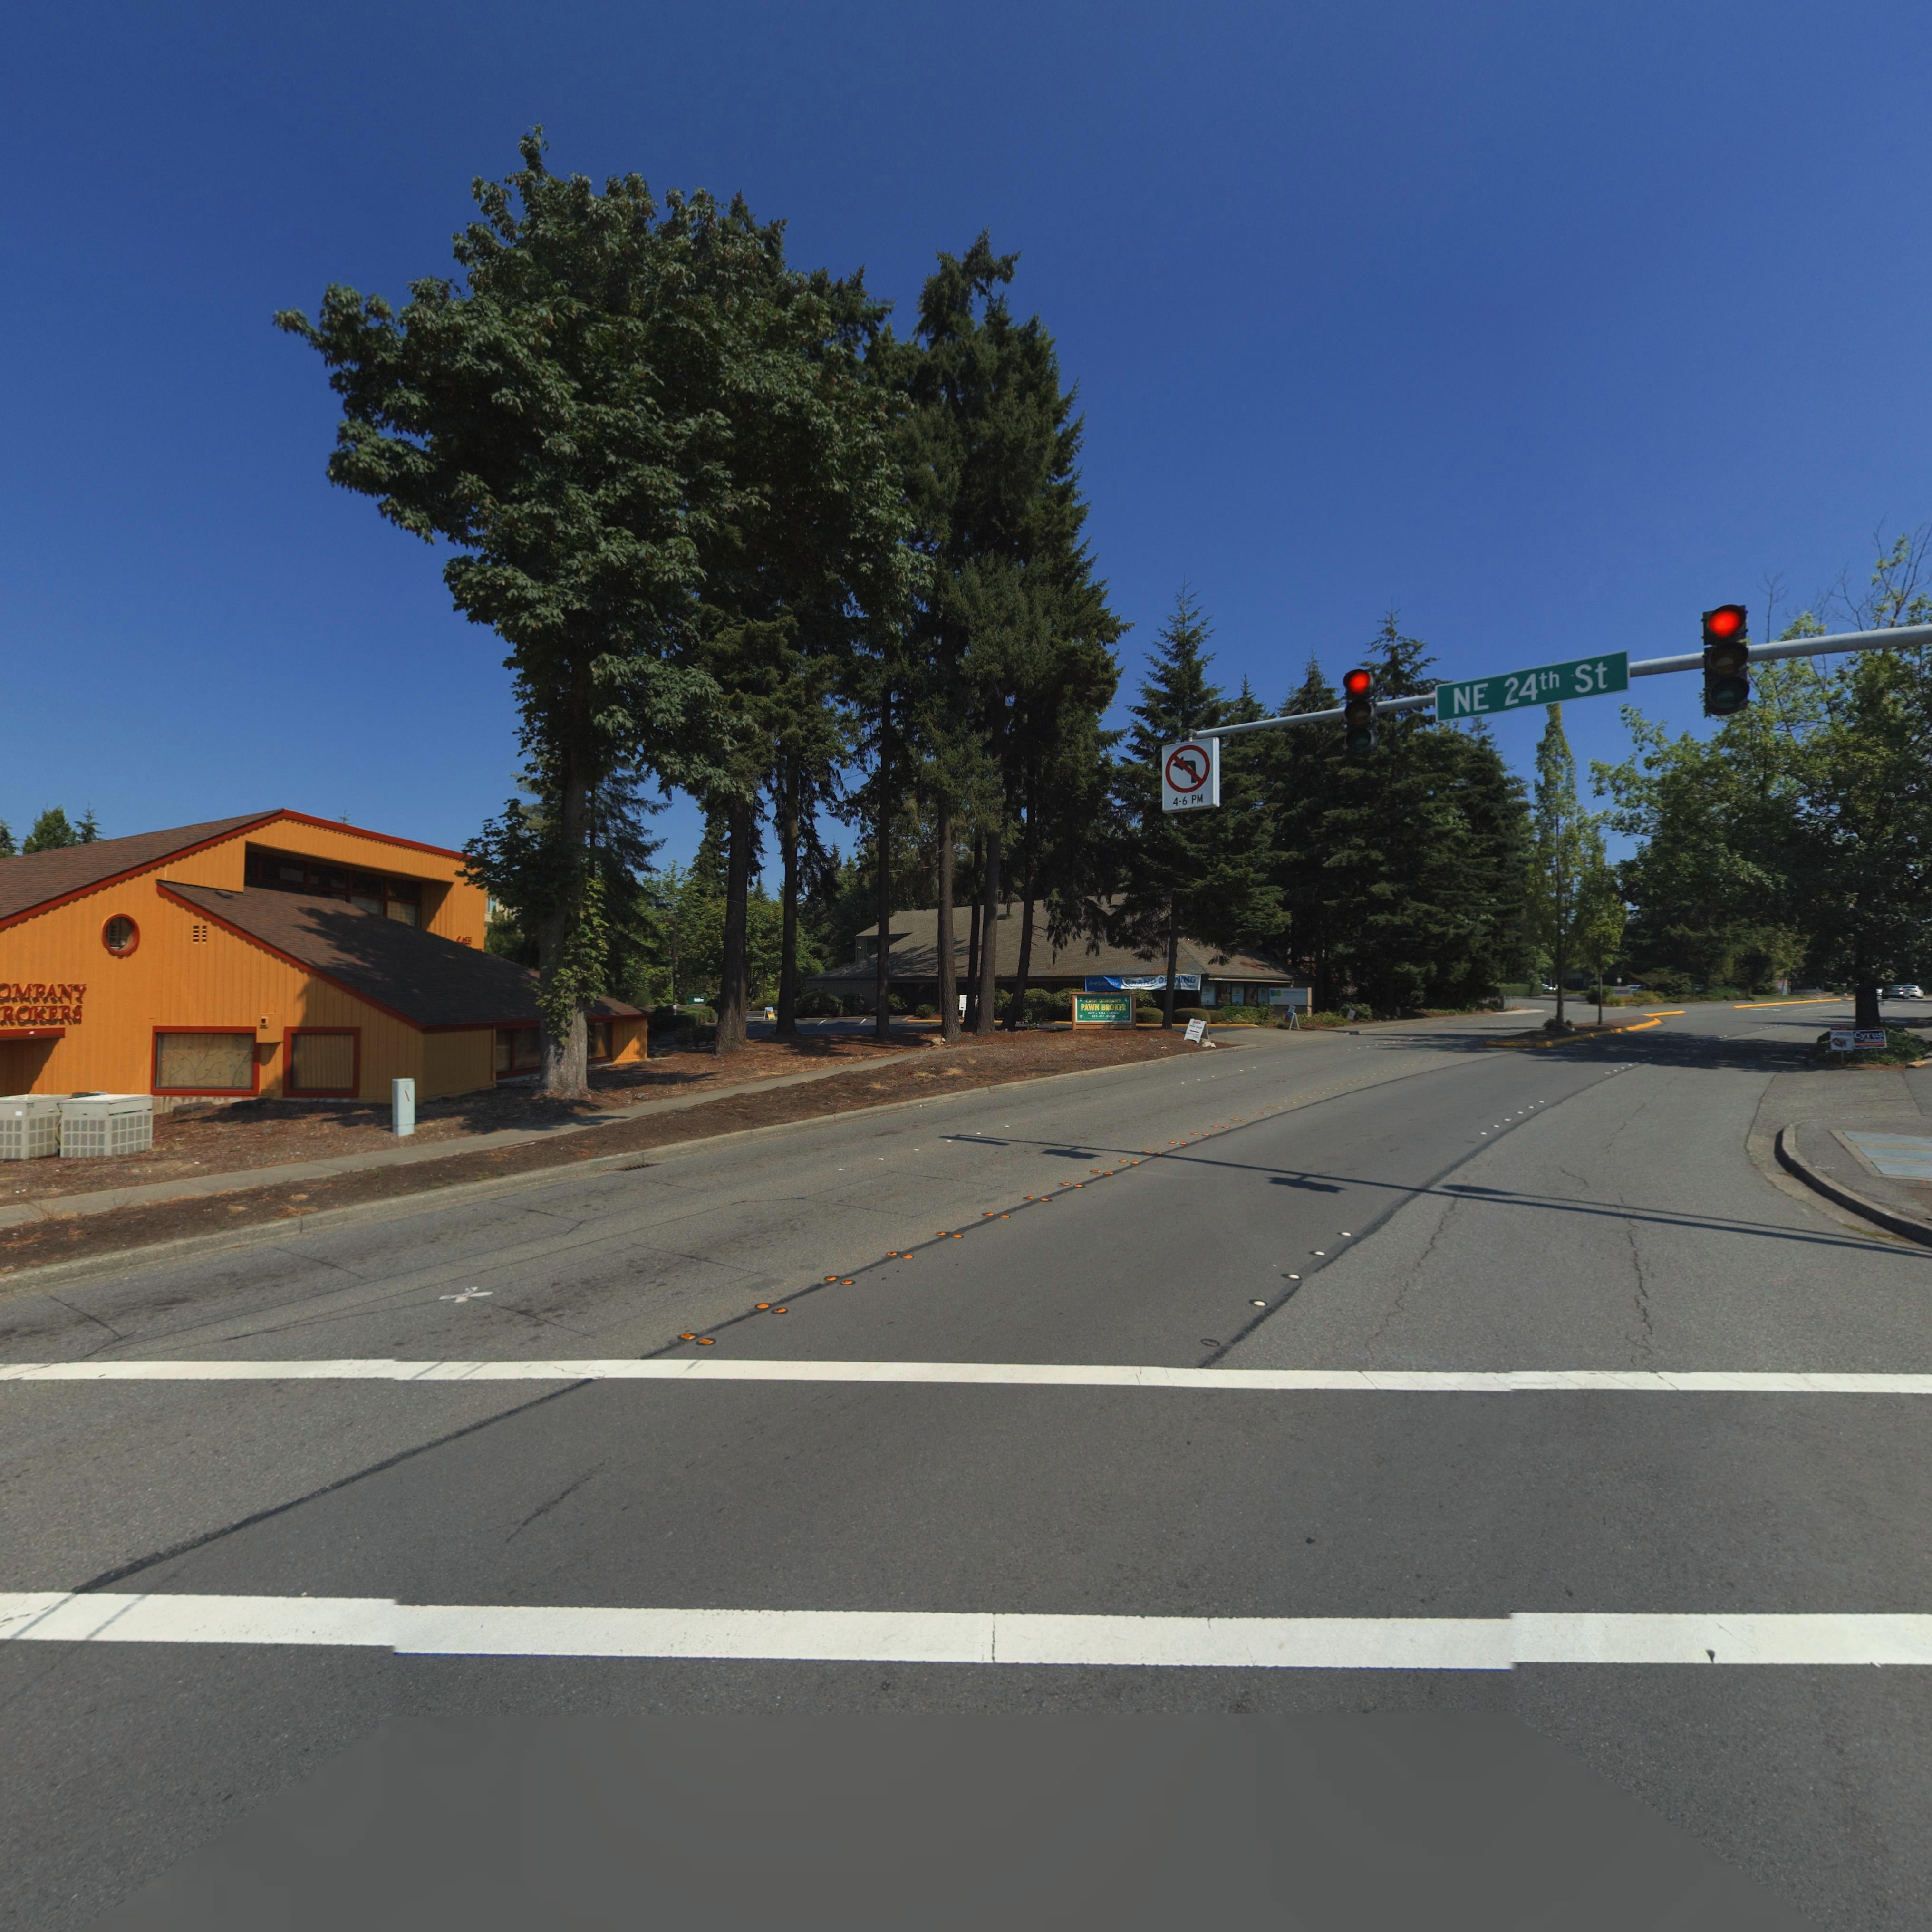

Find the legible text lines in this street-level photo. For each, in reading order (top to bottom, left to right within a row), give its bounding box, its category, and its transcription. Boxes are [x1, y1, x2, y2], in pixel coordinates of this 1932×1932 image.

[1450, 661, 1610, 714] StreetName: NE 24th St
[11, 983, 89, 1001] BusinessName: MPANY
[0, 1005, 82, 1024] BusinessName: ROKERS
[1081, 1004, 1126, 1011] BusinessName: PAWN BROKER